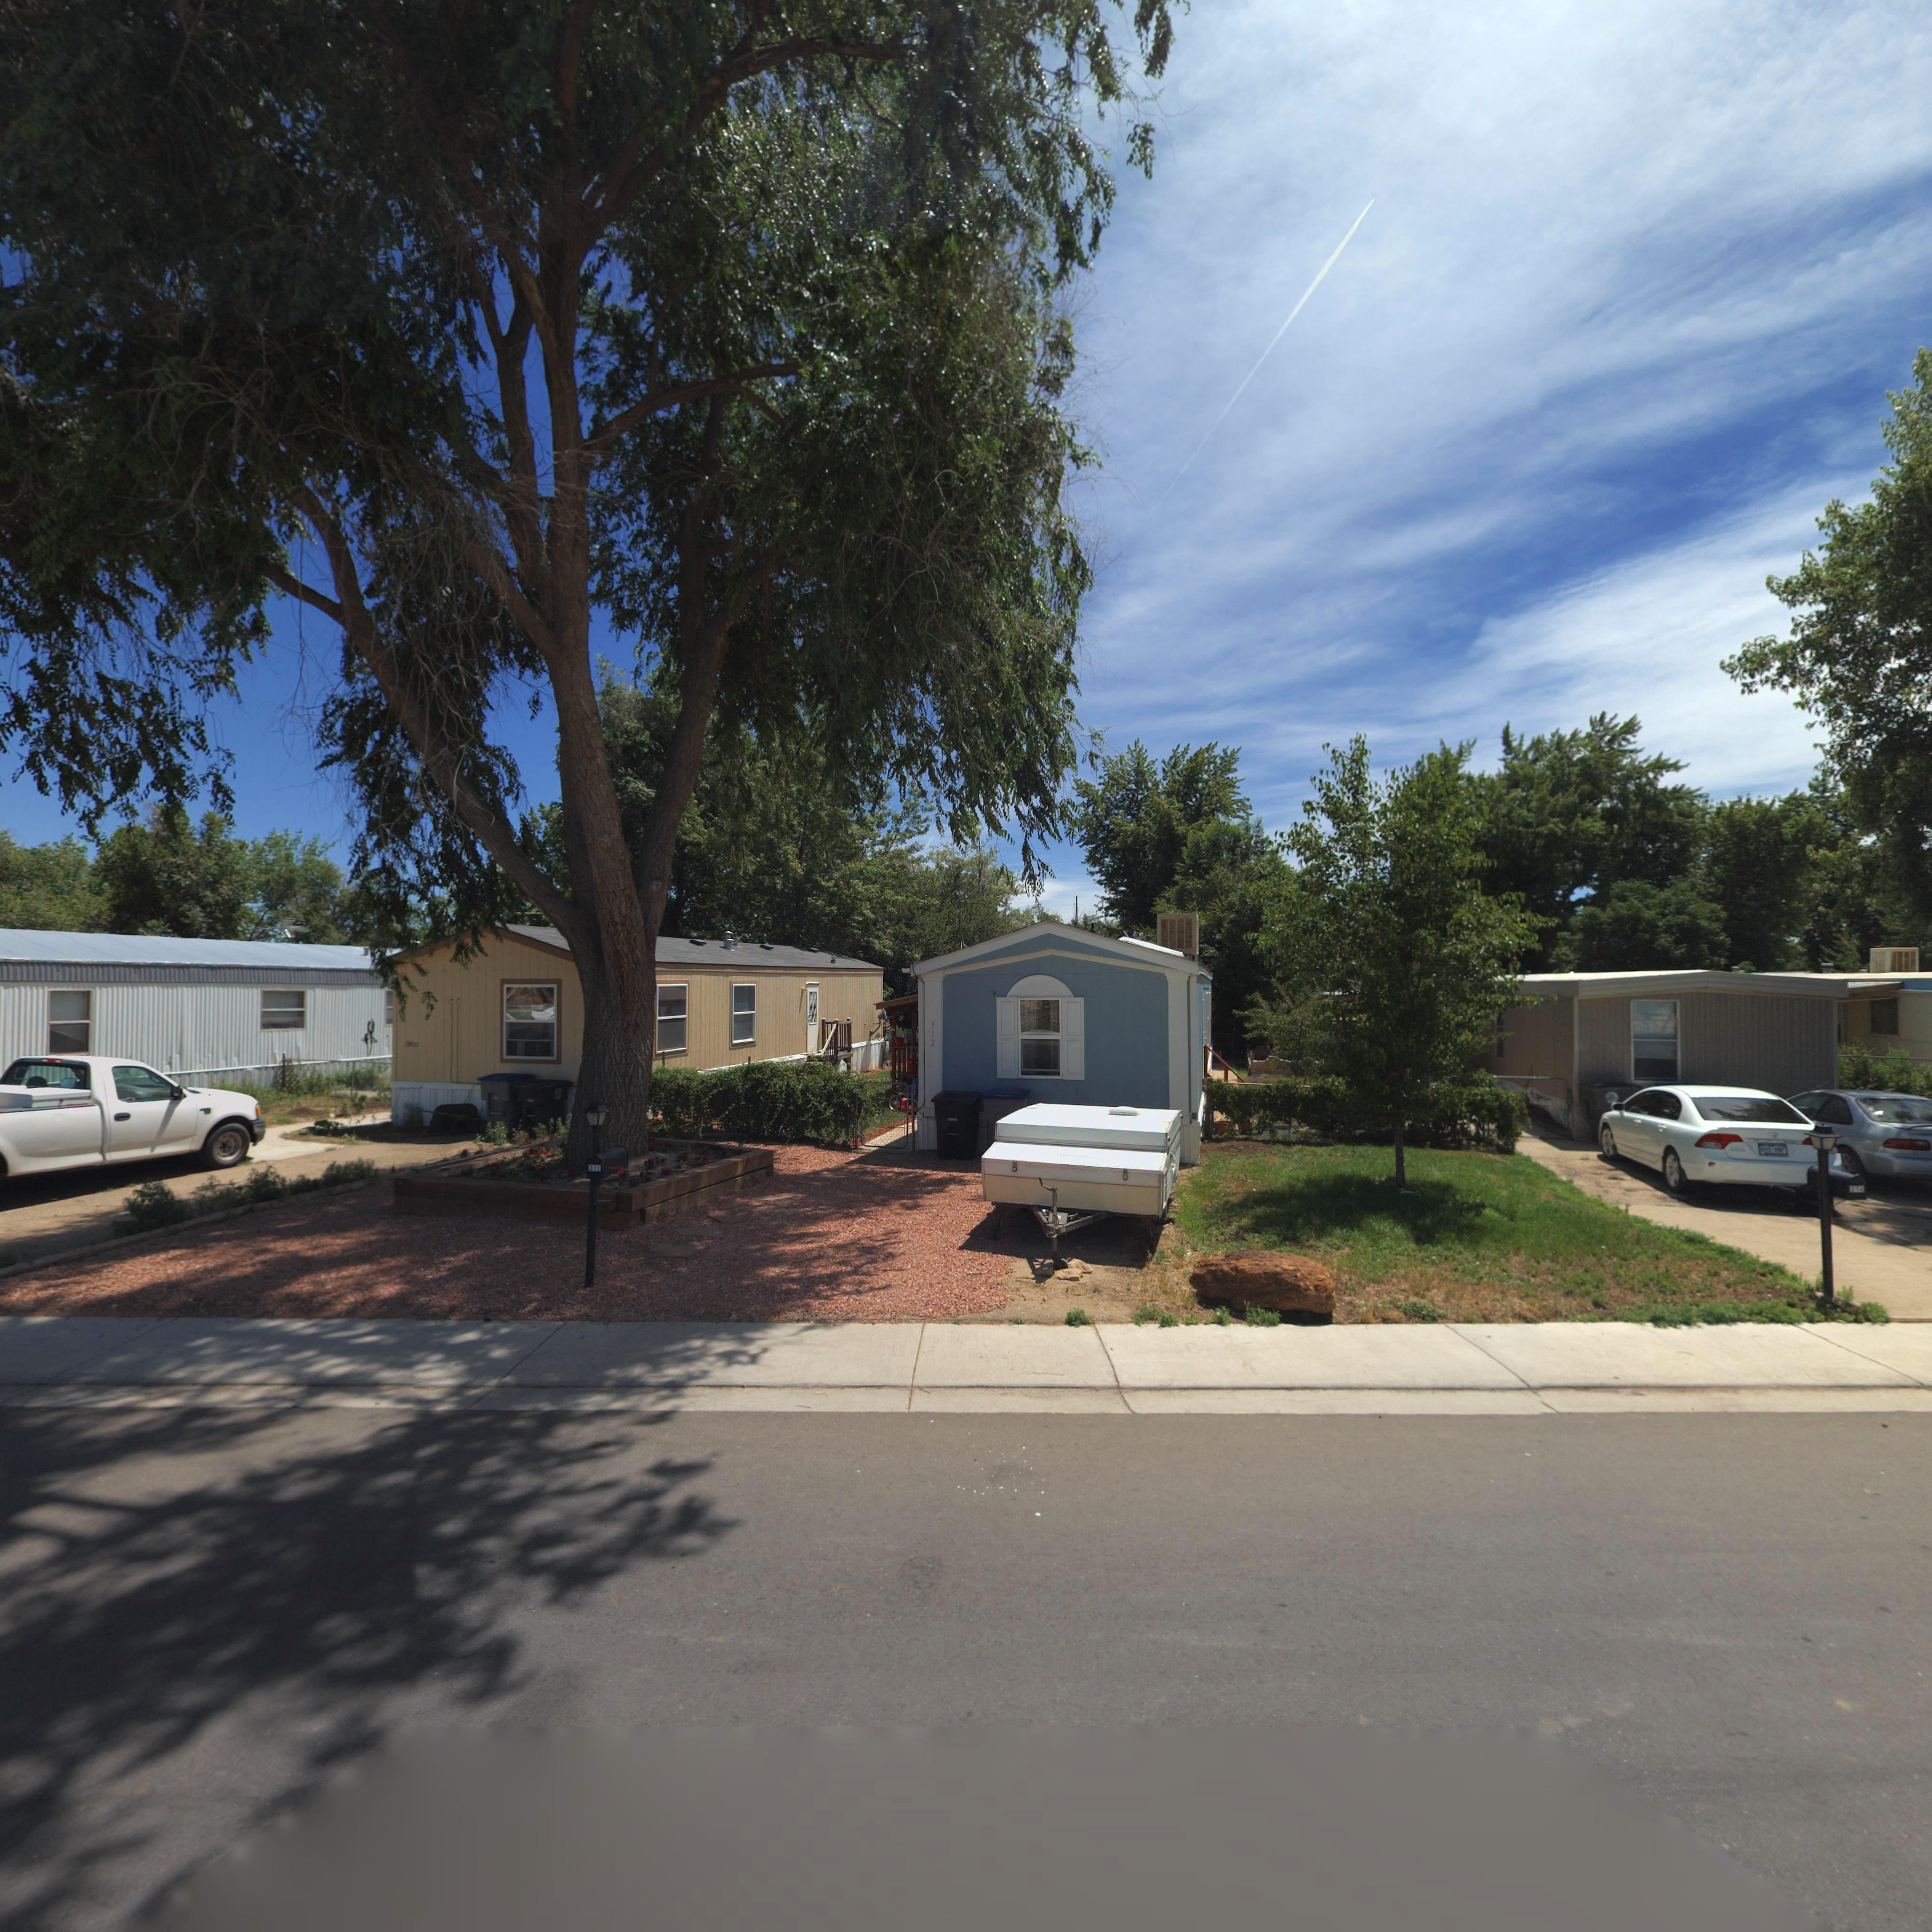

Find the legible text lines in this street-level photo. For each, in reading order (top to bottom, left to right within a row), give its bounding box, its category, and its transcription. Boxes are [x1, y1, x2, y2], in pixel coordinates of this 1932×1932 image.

[930, 1021, 935, 1047] StreetNumber: 312
[404, 1040, 419, 1048] StreetNumber: ***0
[589, 1164, 600, 1171] StreetNumber: 312
[1849, 1185, 1864, 1193] StreetNumber: 314